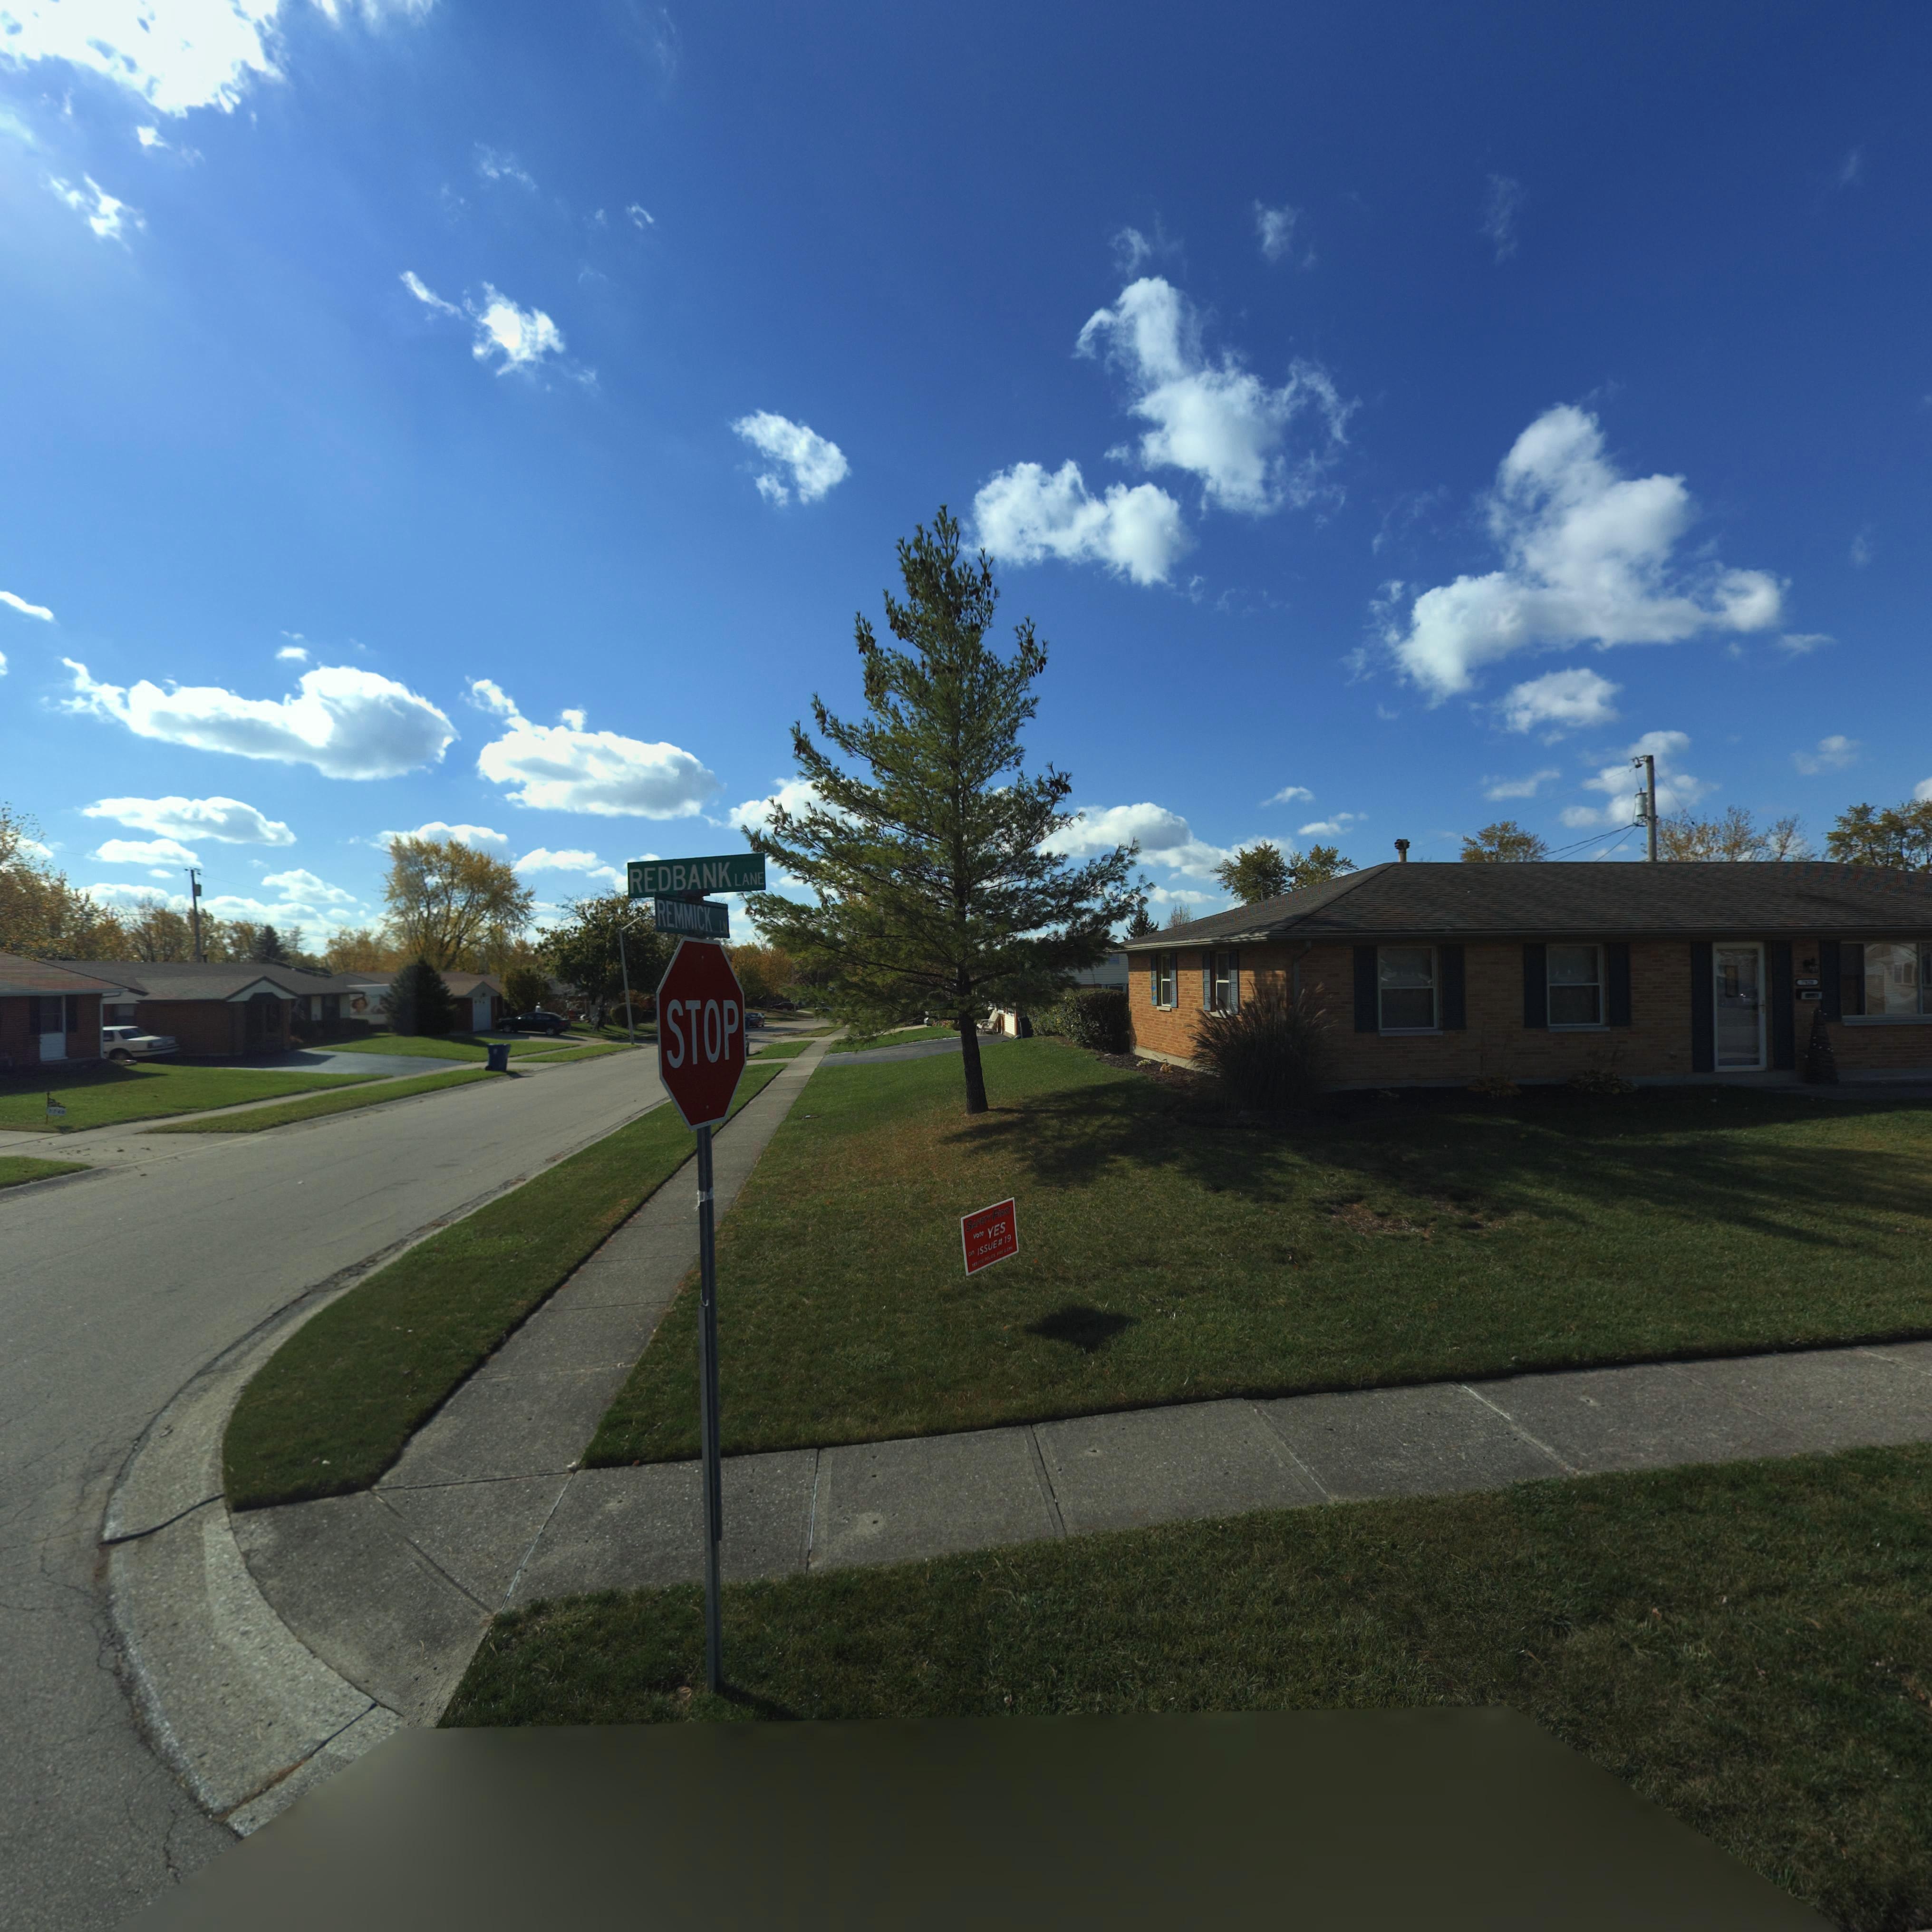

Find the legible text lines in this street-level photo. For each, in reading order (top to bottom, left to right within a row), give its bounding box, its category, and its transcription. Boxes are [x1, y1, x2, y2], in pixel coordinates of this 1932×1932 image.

[1800, 979, 1814, 985] StreetNumber: 7820